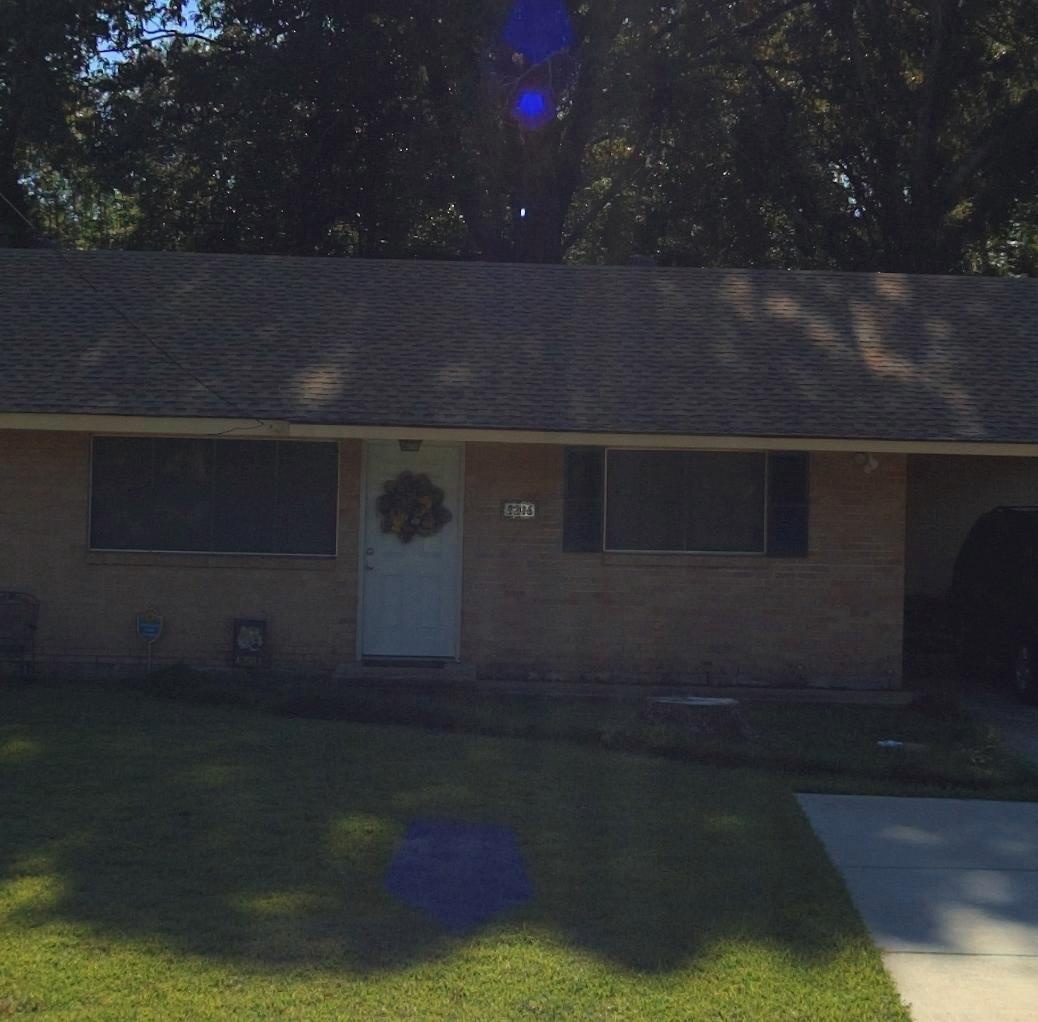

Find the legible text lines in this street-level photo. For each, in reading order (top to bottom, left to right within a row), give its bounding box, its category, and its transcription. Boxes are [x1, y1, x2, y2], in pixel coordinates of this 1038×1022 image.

[505, 503, 535, 517] StreetNumber: 8216